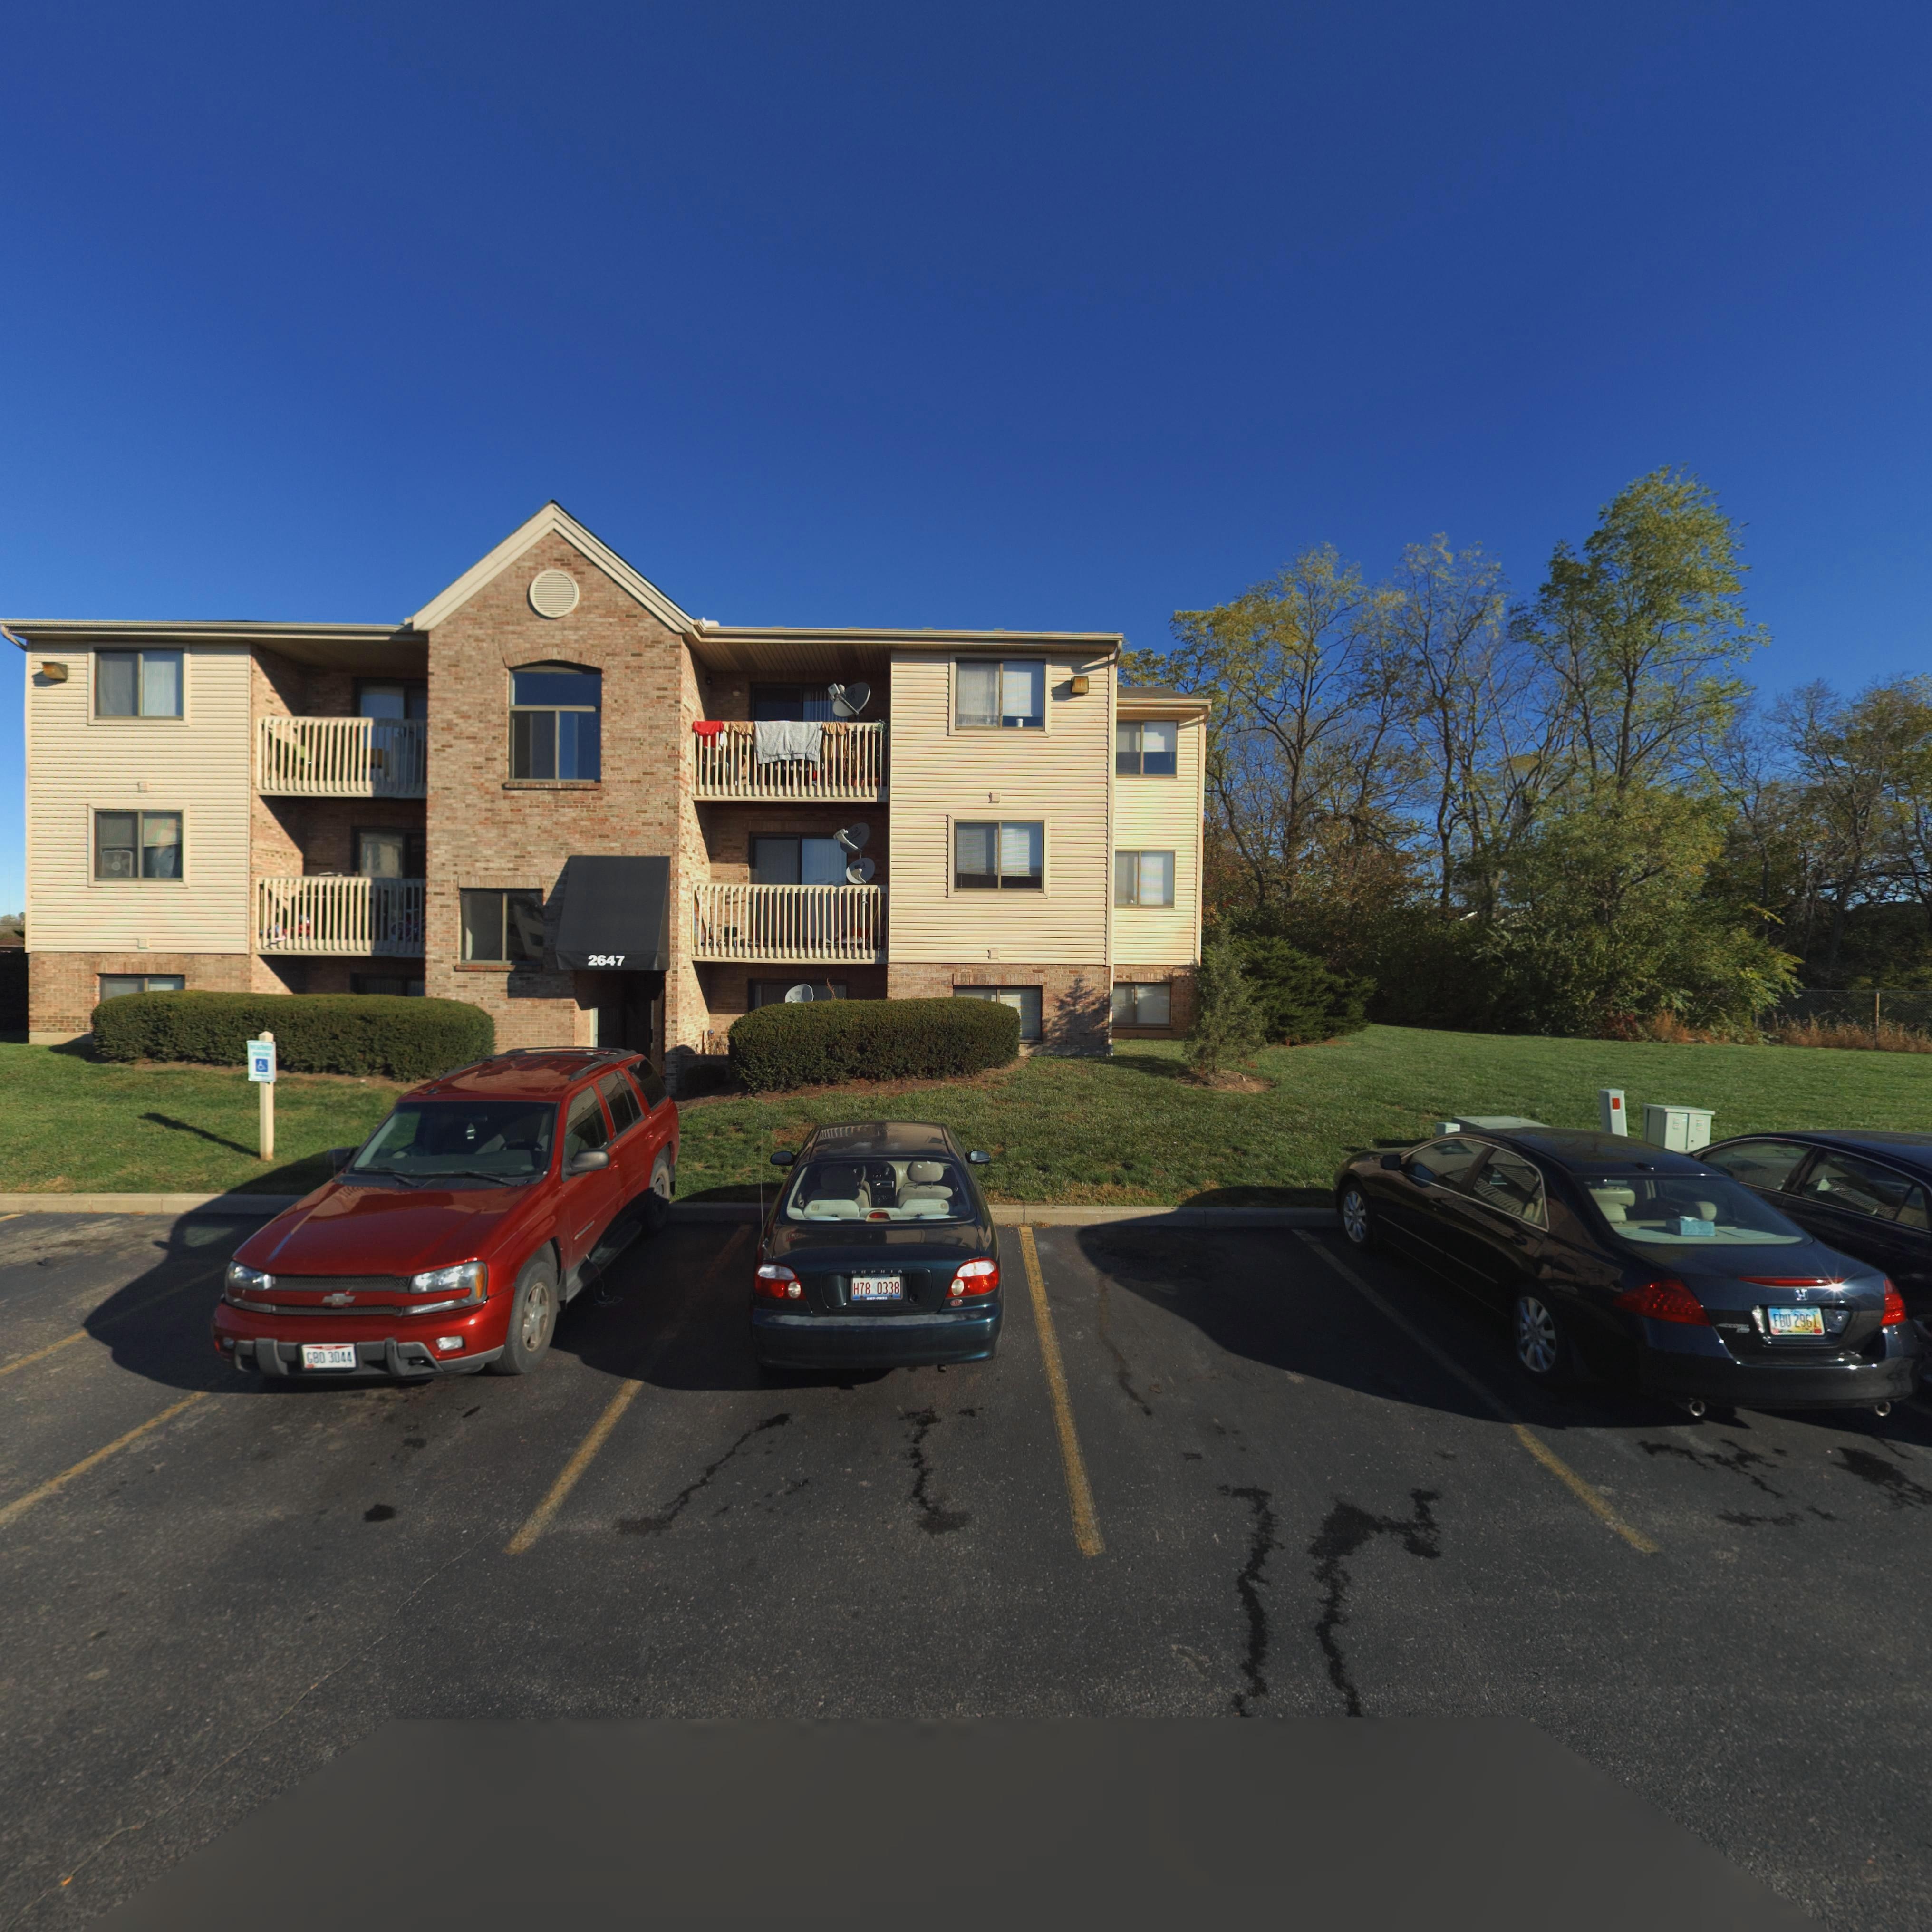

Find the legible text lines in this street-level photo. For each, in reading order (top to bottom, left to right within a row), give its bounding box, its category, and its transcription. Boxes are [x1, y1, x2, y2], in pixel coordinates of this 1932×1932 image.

[587, 953, 626, 967] StreetNumber: 2647